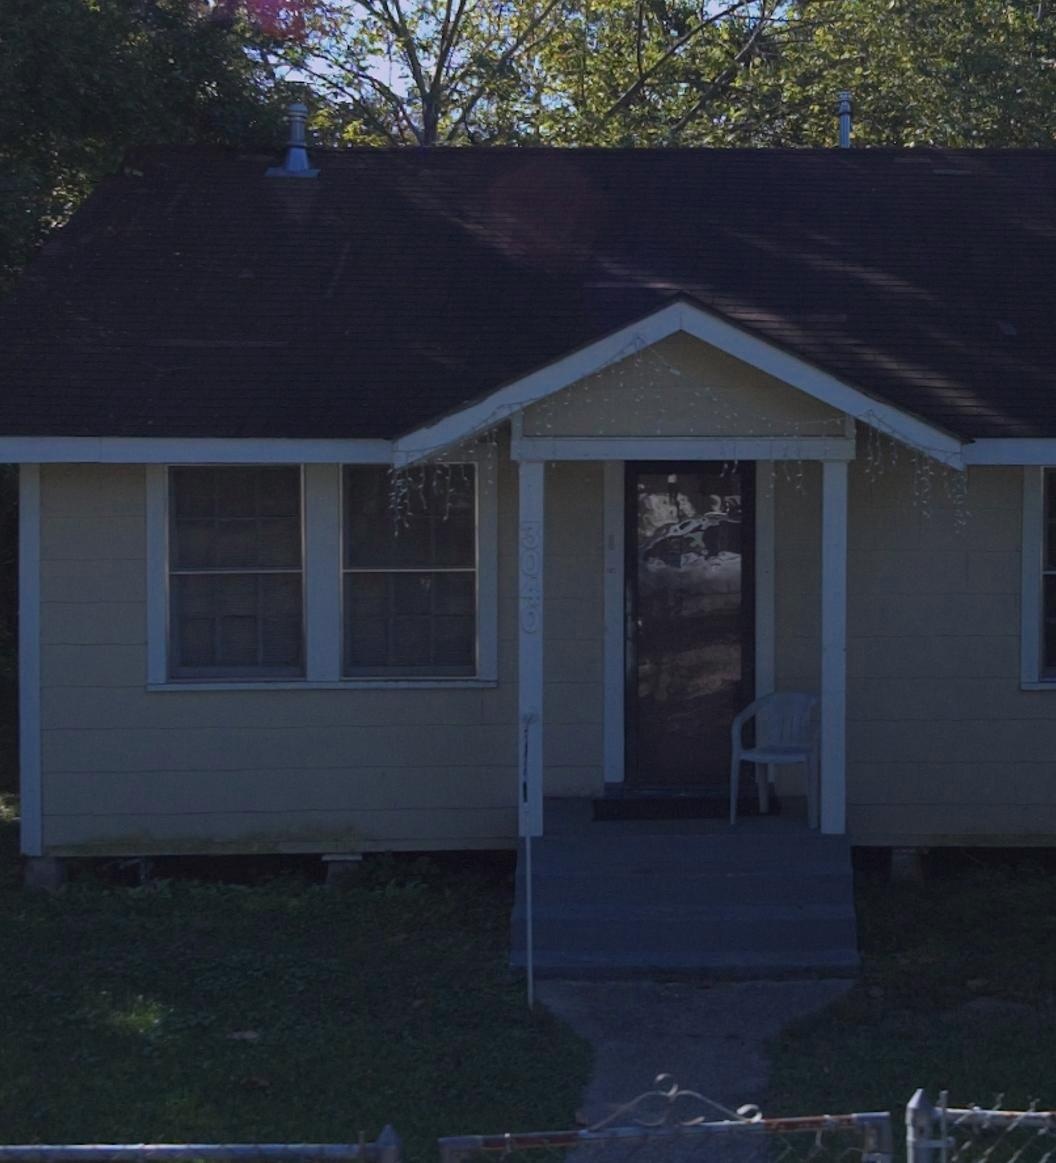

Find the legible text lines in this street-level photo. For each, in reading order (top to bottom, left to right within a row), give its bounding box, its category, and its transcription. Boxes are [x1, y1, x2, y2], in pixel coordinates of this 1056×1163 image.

[518, 518, 543, 637] StreetNumber: 3040